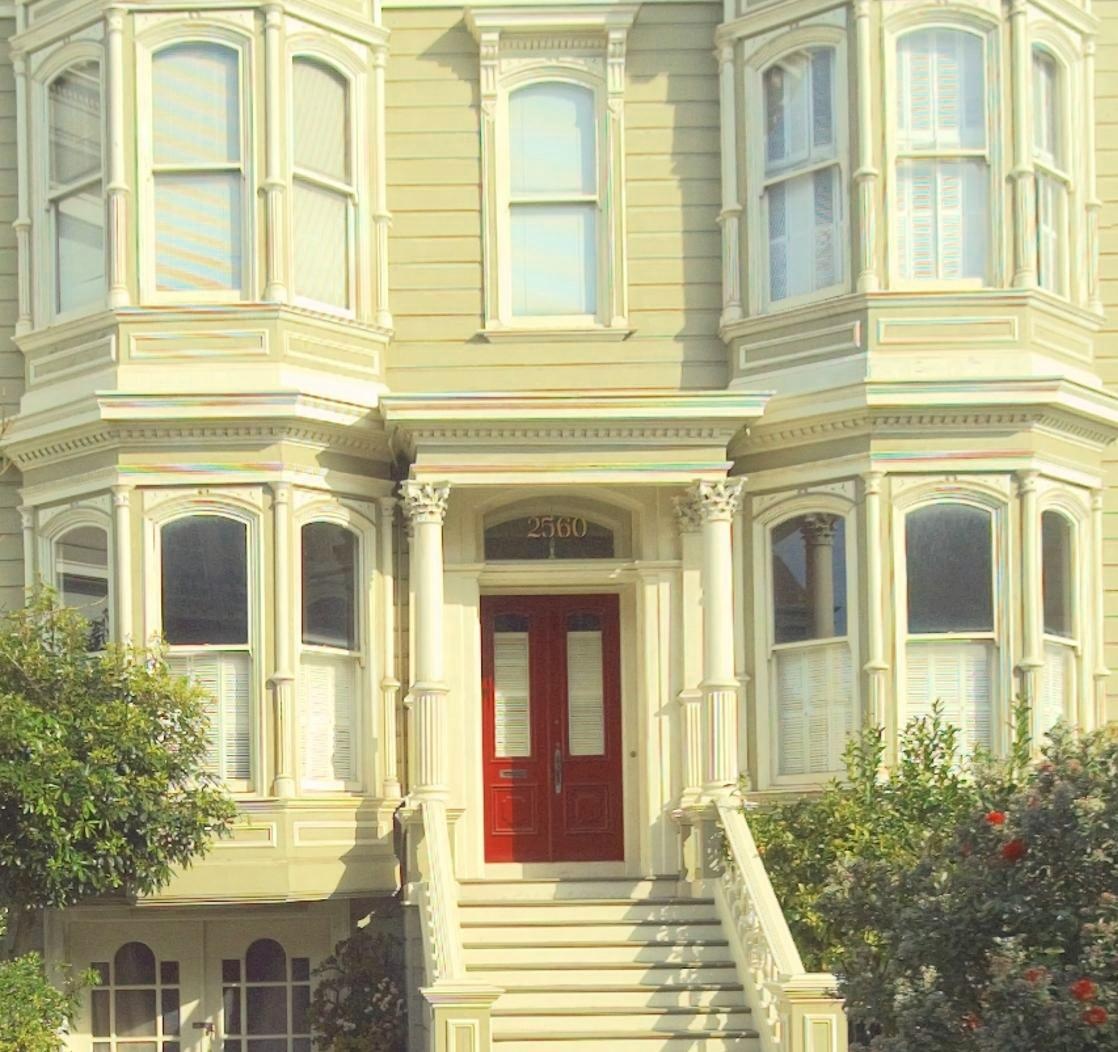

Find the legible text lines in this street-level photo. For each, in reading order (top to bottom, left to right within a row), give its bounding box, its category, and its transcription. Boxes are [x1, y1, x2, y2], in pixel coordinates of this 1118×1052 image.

[525, 515, 589, 540] StreetNumber: 2560